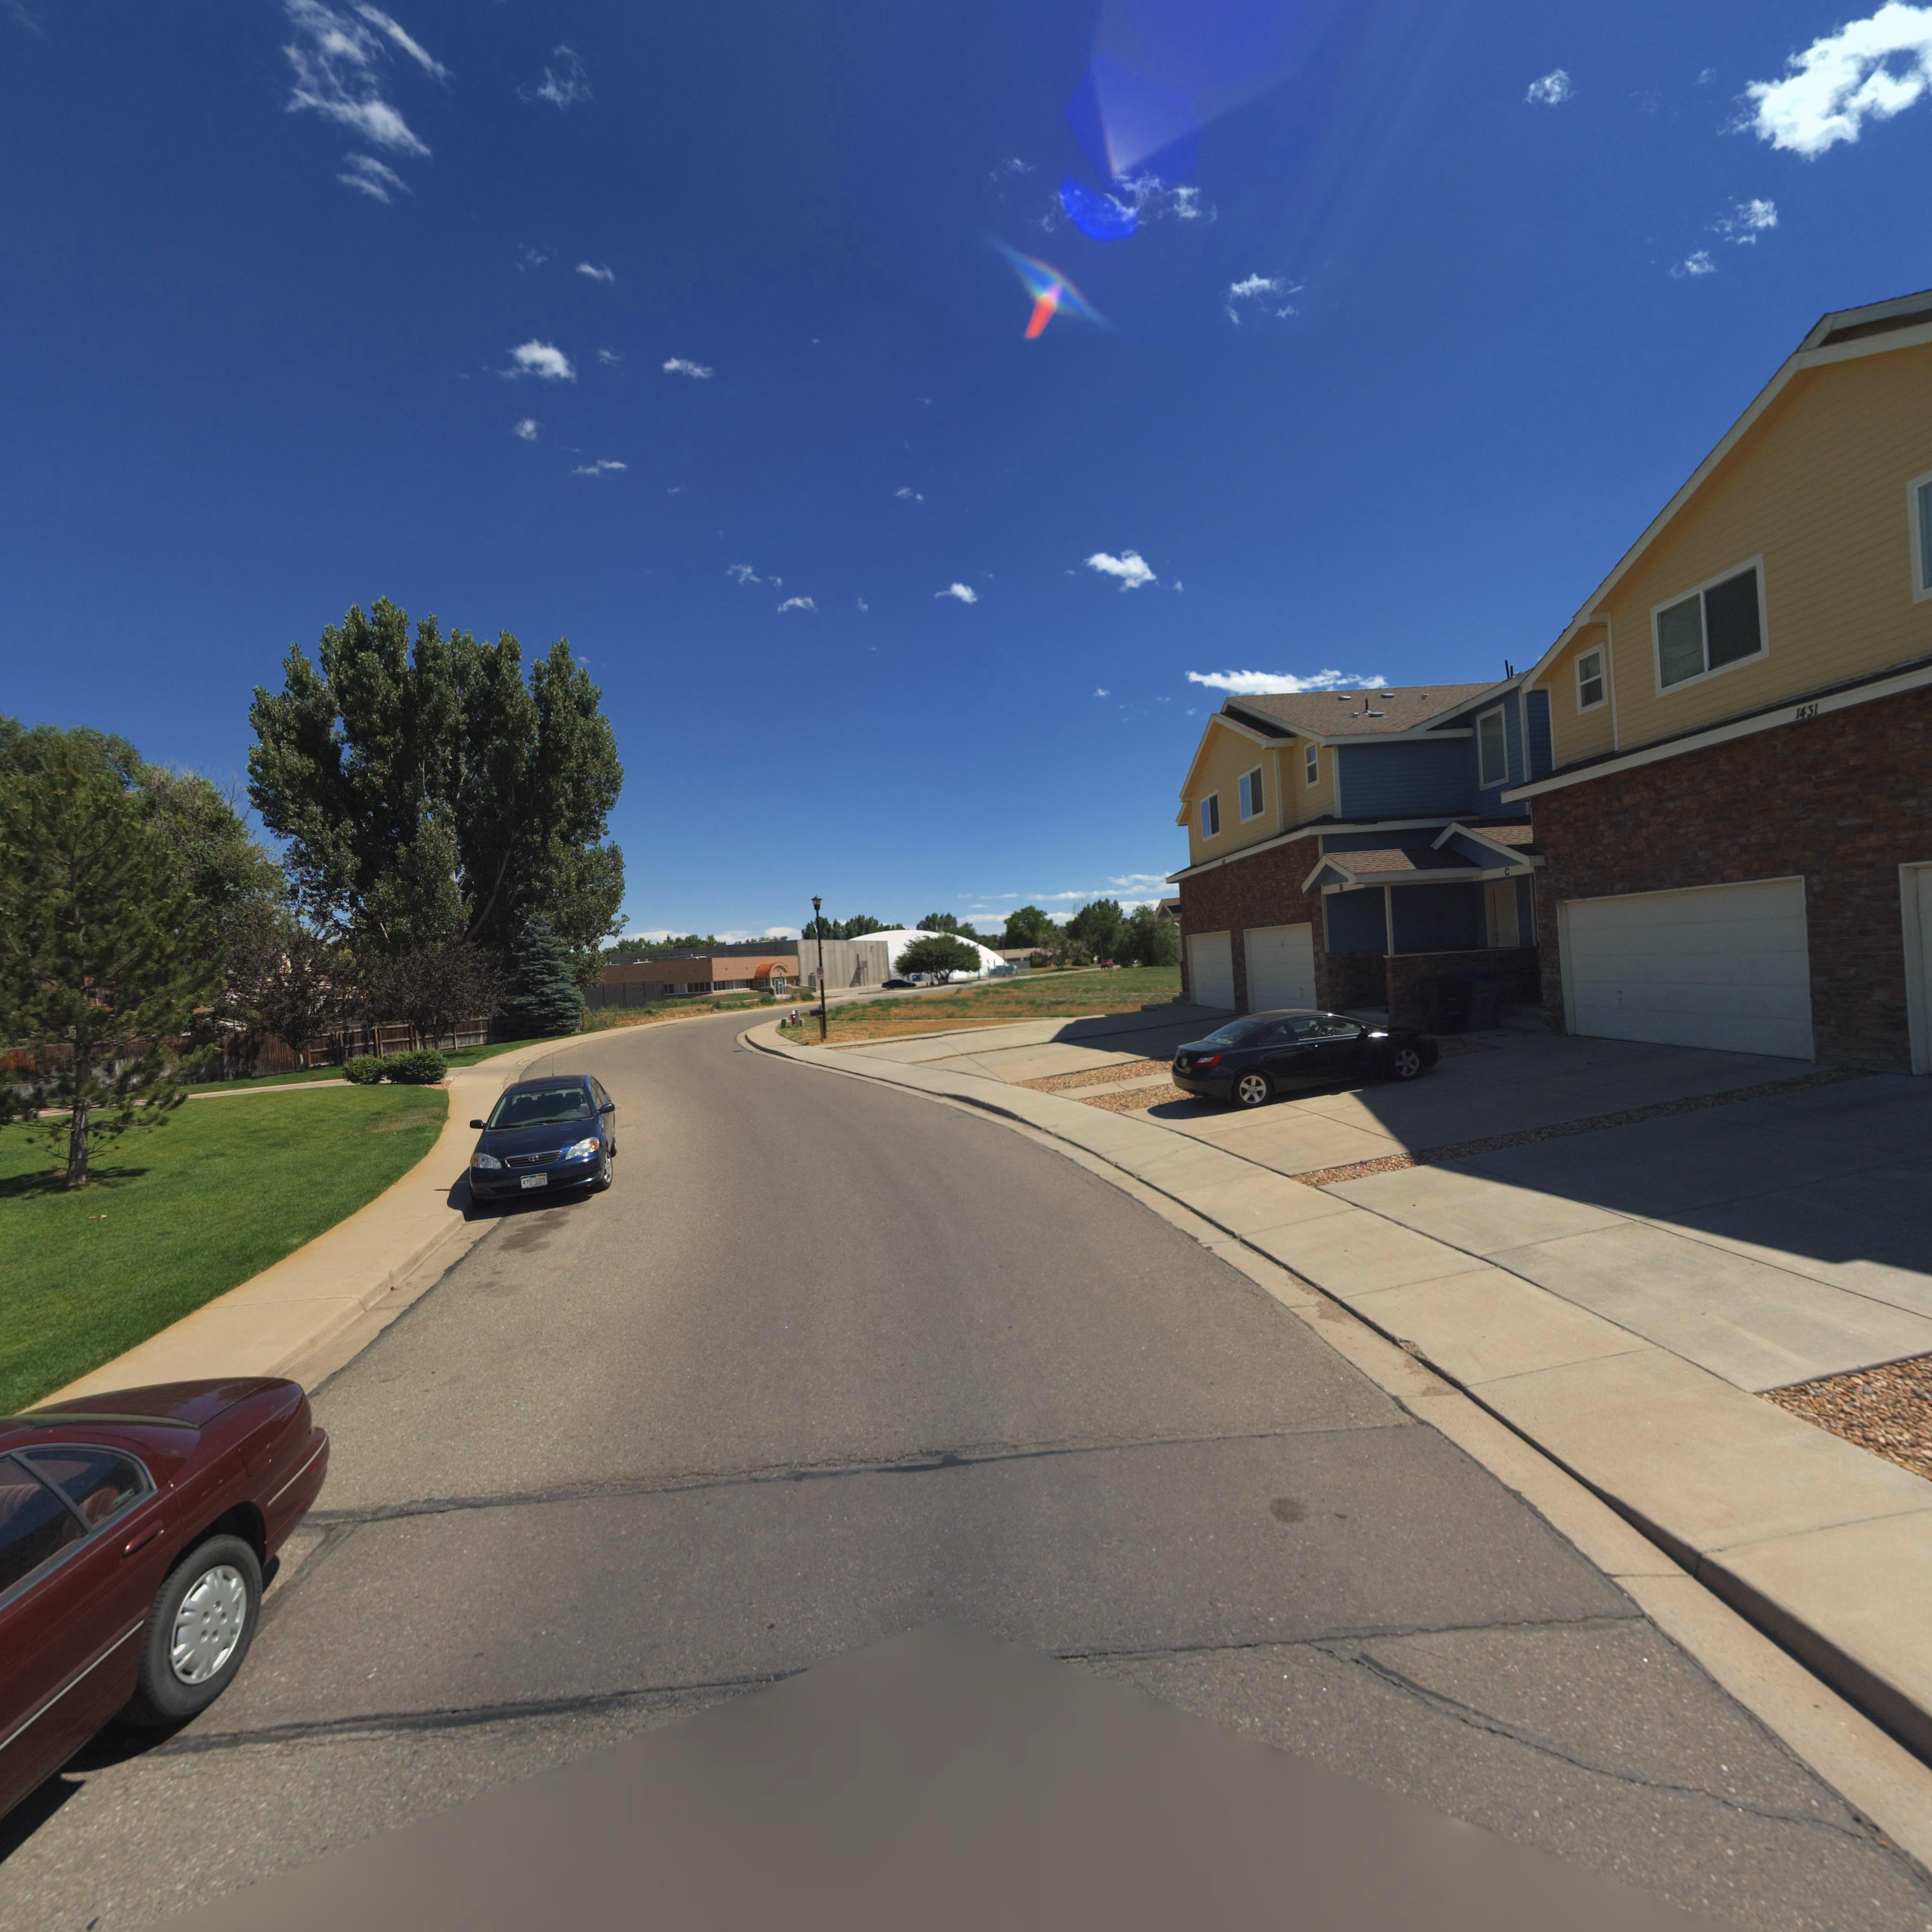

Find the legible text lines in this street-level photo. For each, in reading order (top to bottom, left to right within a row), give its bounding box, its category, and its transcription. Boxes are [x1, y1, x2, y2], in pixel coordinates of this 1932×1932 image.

[1796, 702, 1818, 720] StreetNumber: 1431